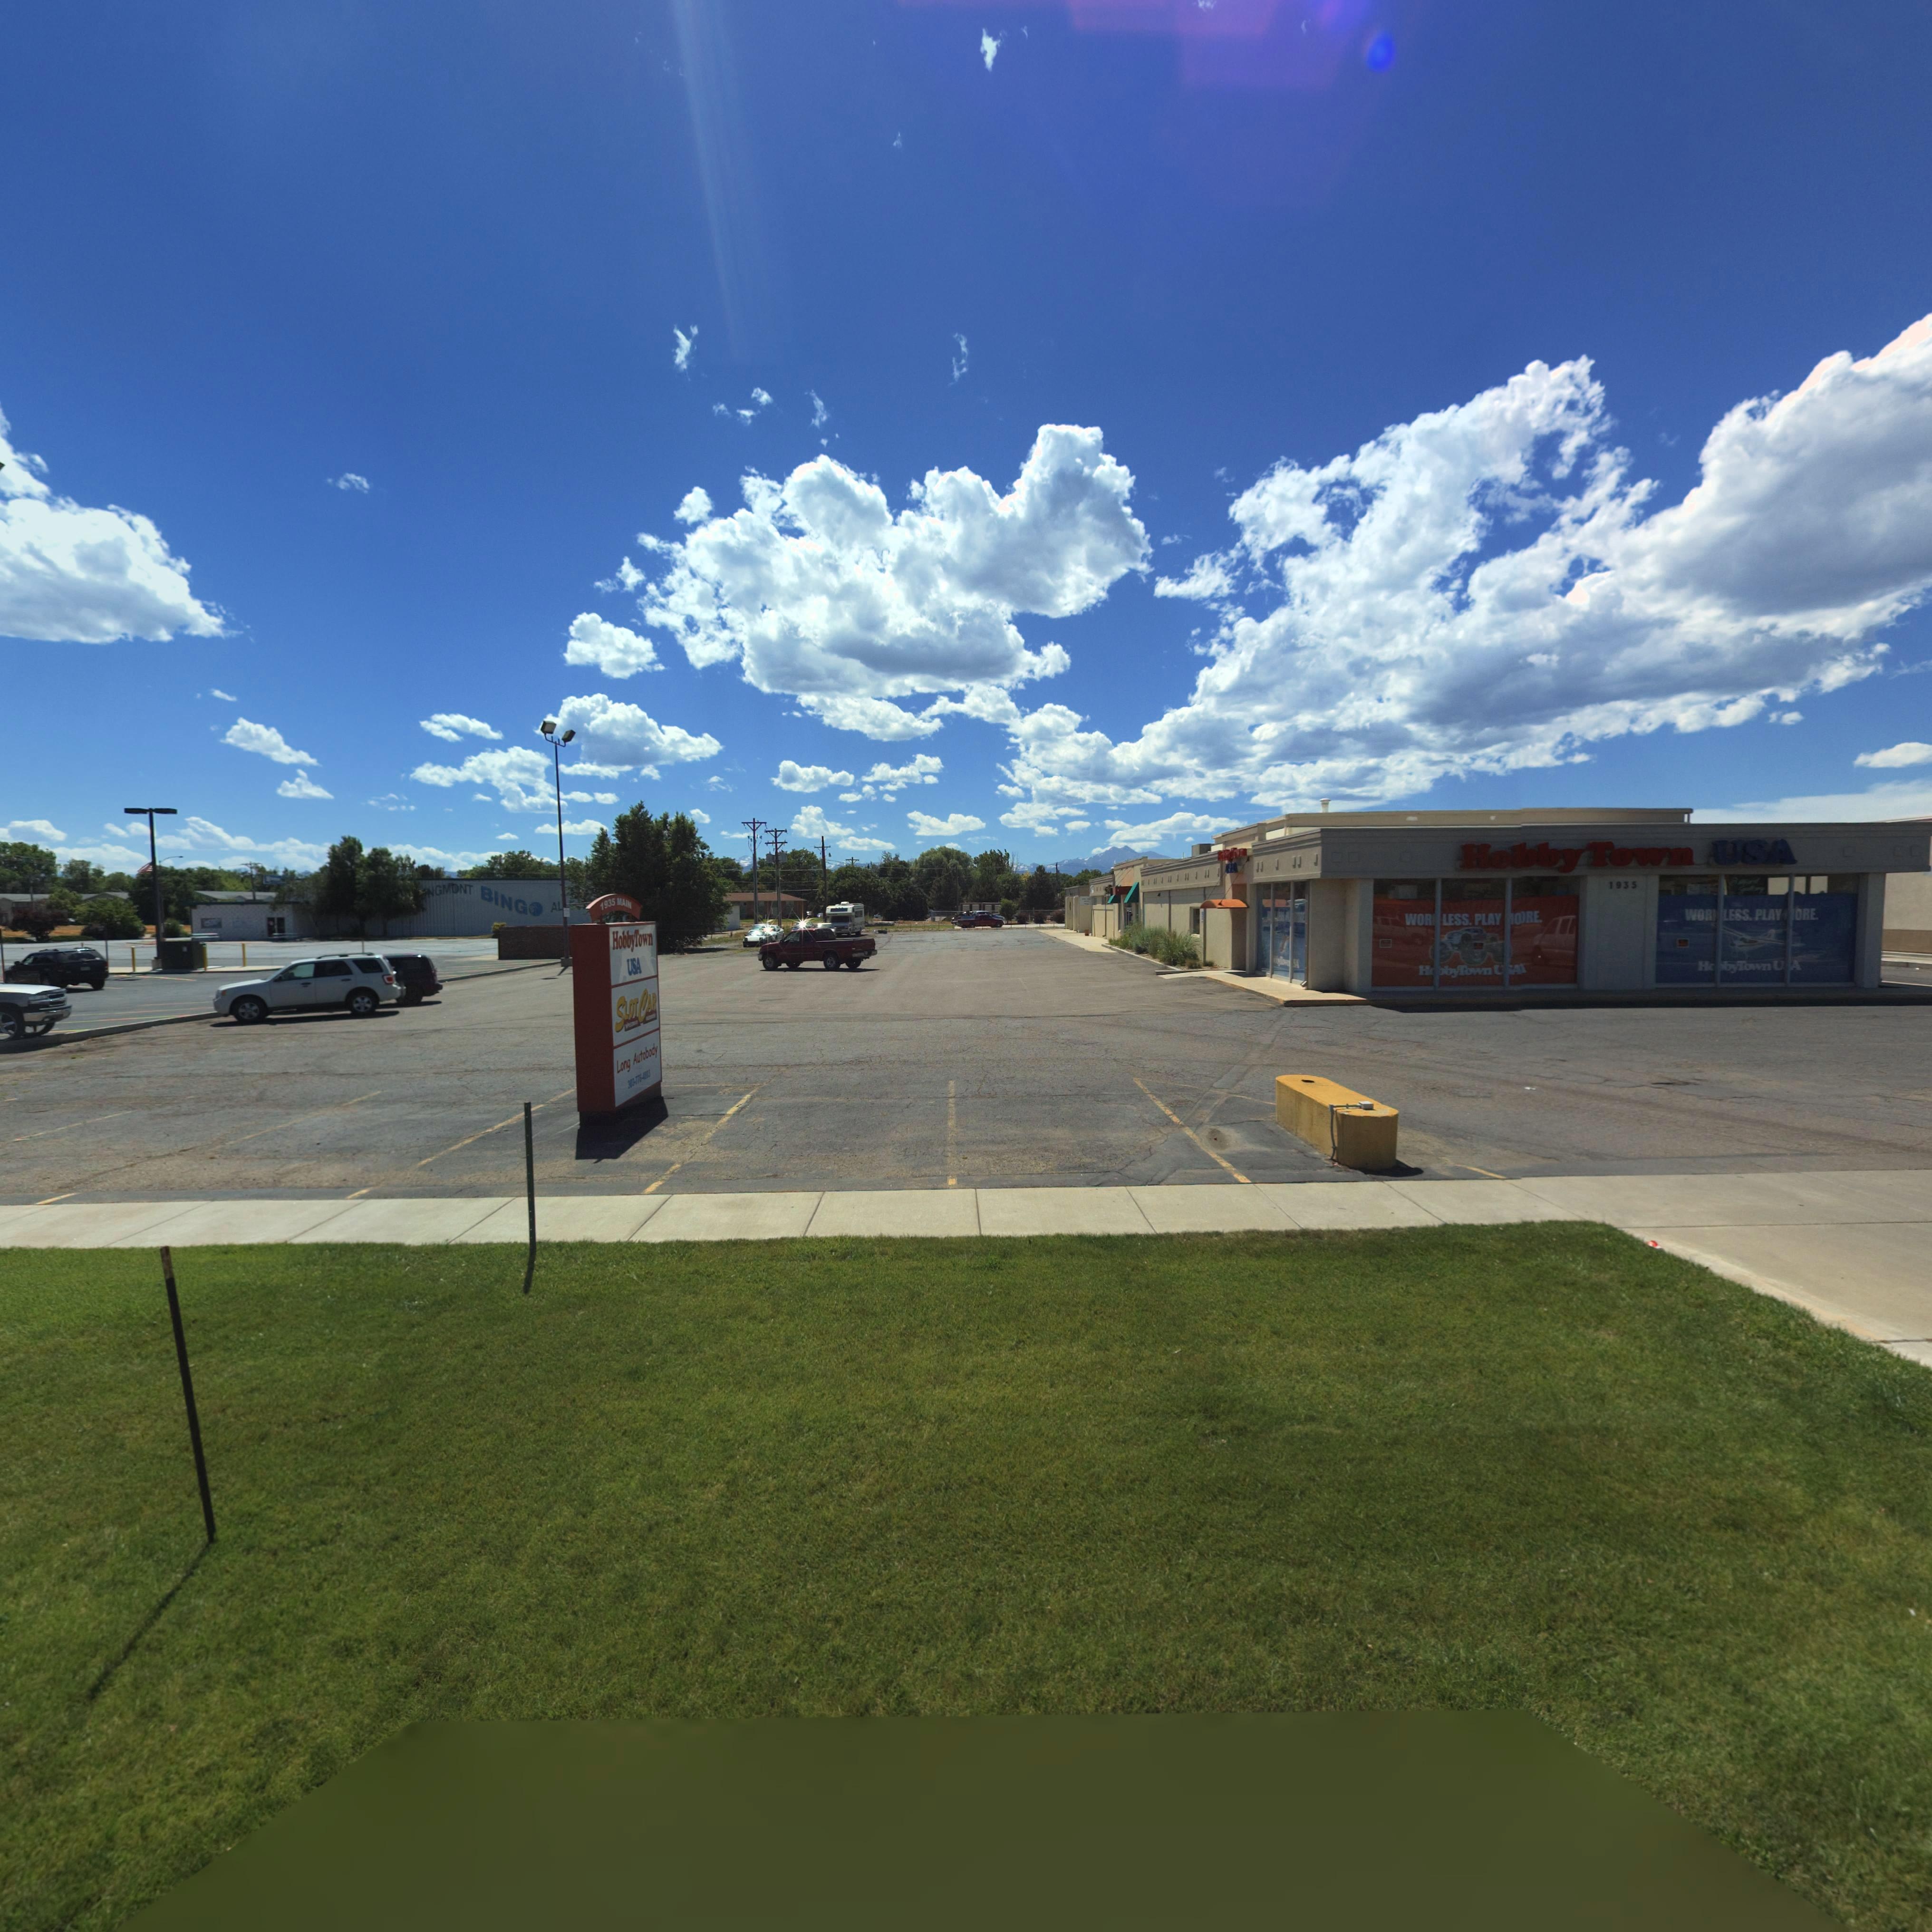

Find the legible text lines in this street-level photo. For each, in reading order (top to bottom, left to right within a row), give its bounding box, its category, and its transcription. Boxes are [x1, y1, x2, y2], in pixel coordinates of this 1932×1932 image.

[1459, 838, 1798, 873] BusinessName: Hobby Town USA
[1609, 880, 1637, 889] StreetNumber: 1935
[427, 882, 563, 917] BusinessName: NGMONT BING* AL
[599, 897, 616, 910] StreetNumber: 1935
[617, 897, 631, 909] StreetName: MAIN
[612, 929, 653, 952] BusinessName: HobbyTown
[626, 957, 642, 976] BusinessName: USA
[1418, 963, 1522, 978] BusinessName: H**byTown U*A
[1697, 959, 1802, 974] BusinessName: H**byTown U*A
[614, 988, 657, 1032] BusinessName: SLOT CAR
[616, 1043, 658, 1073] BusinessName: Long Autobody